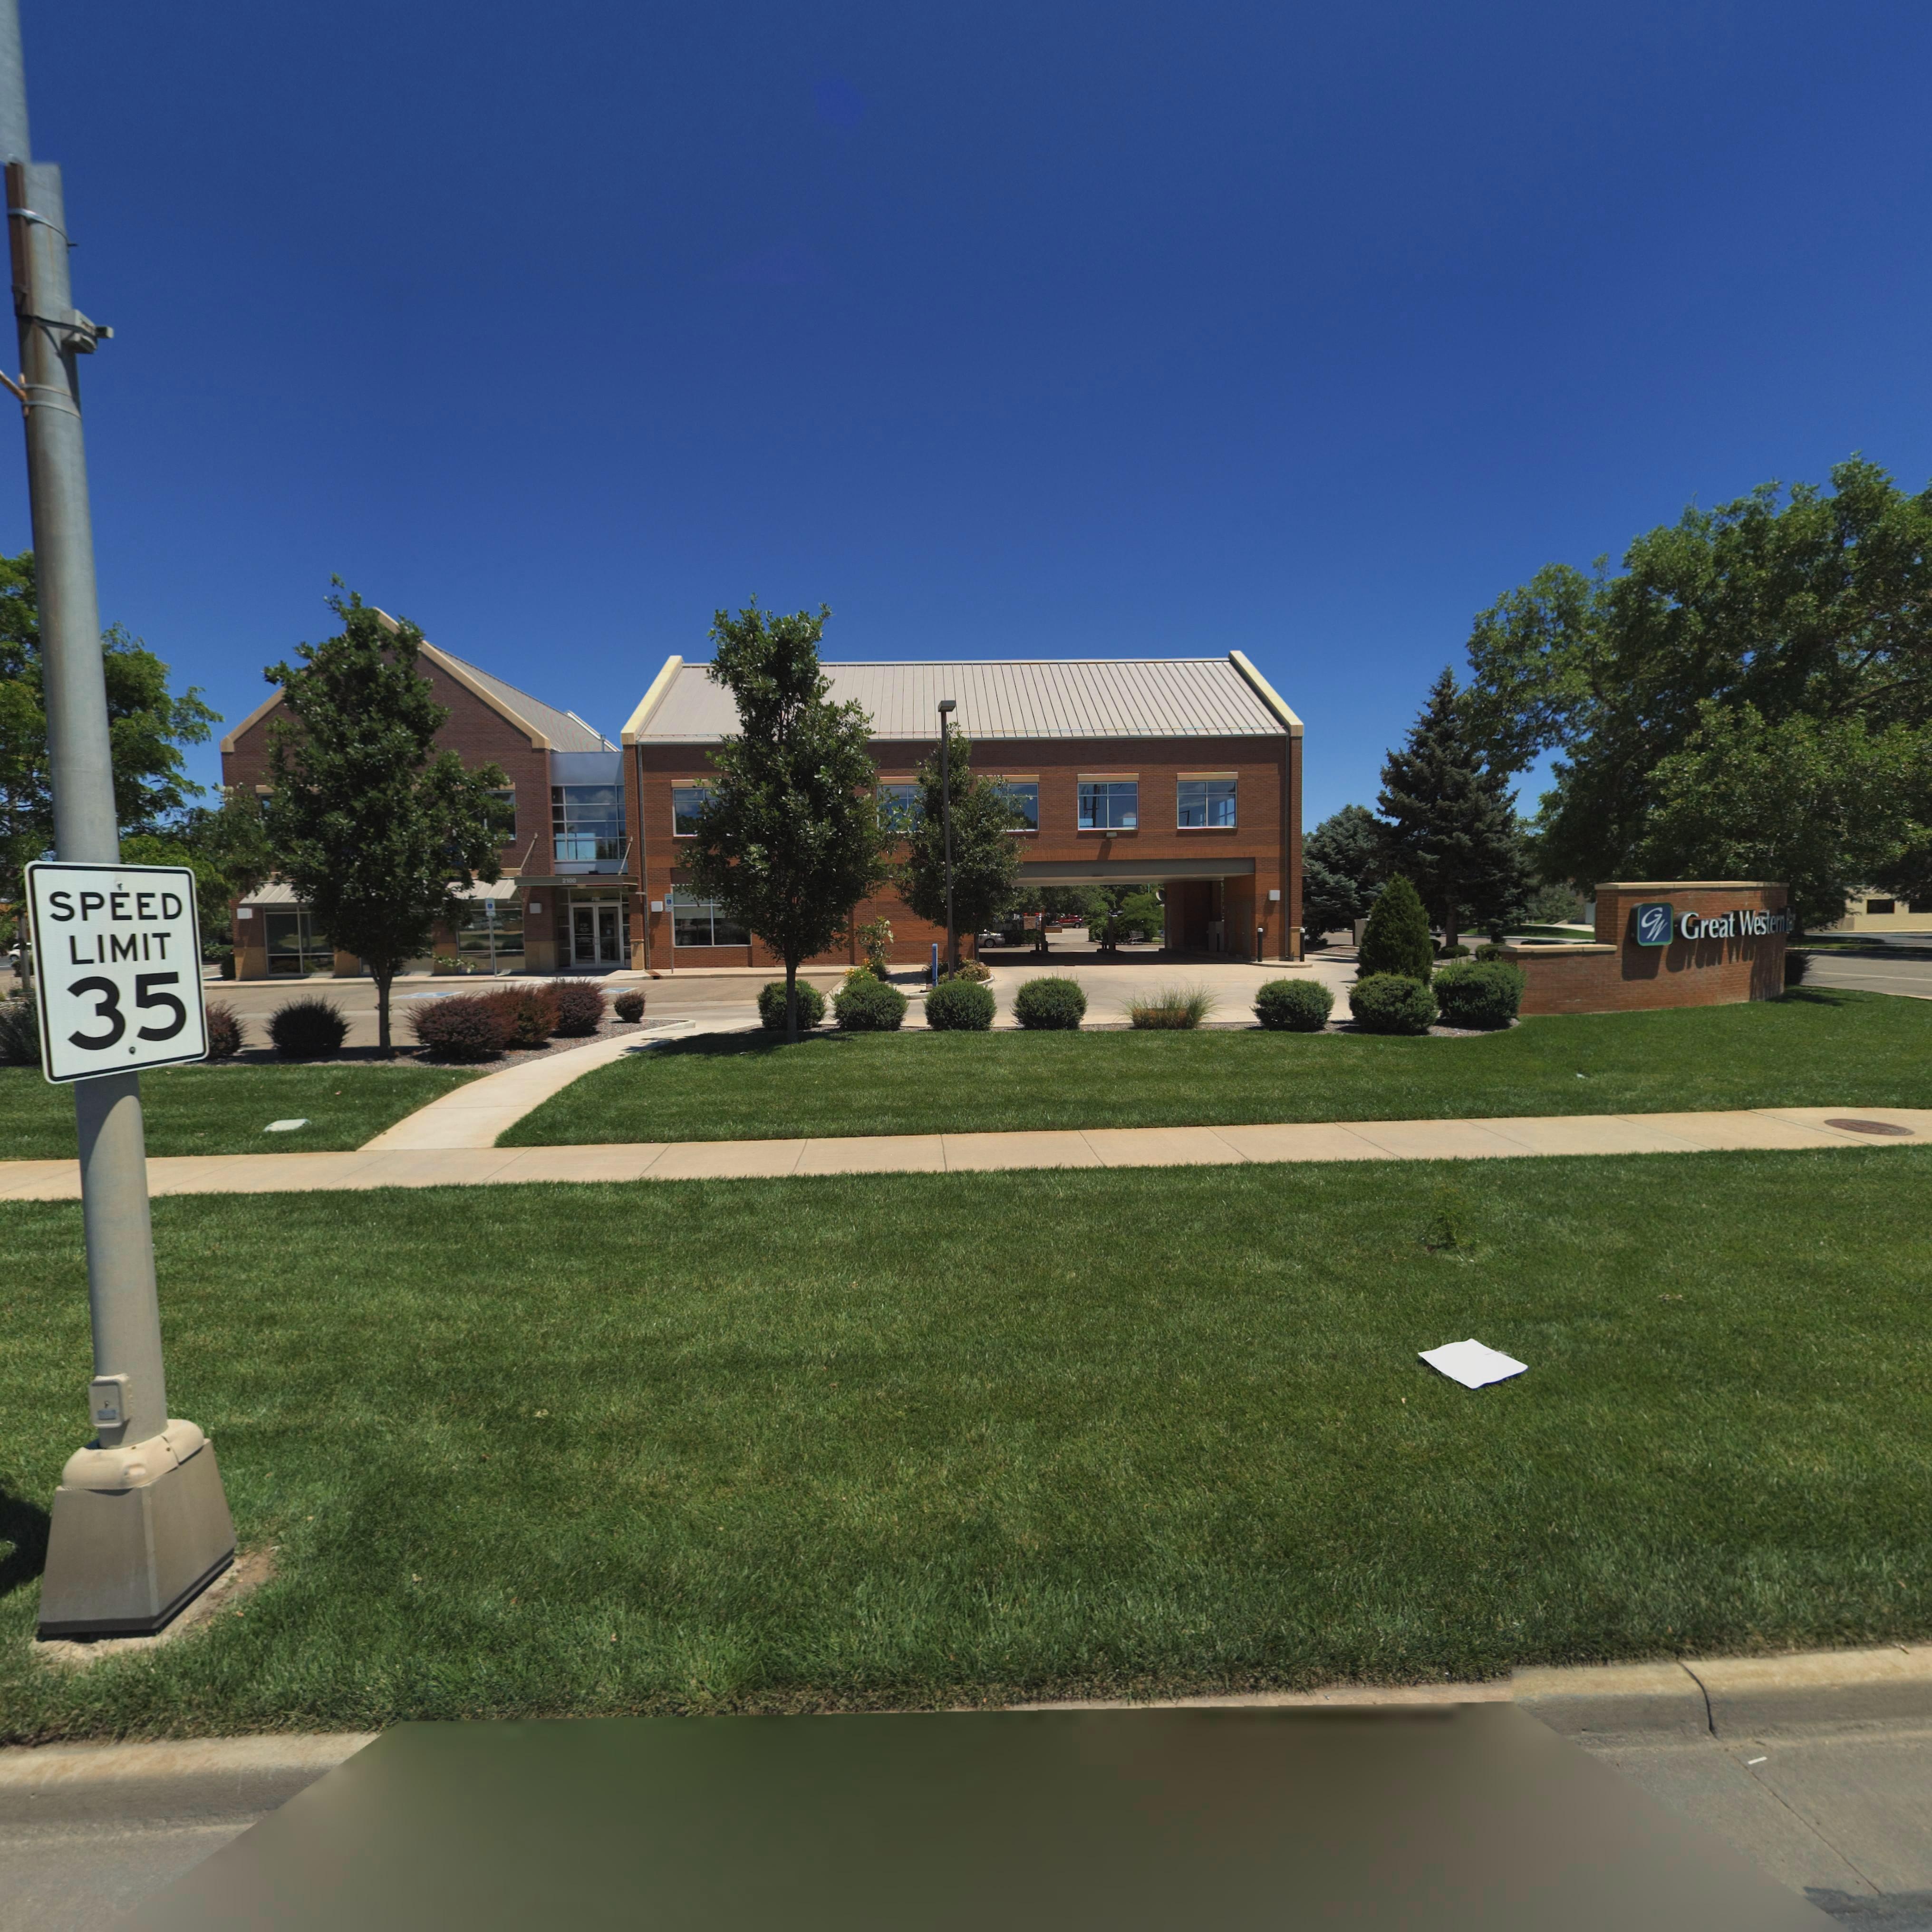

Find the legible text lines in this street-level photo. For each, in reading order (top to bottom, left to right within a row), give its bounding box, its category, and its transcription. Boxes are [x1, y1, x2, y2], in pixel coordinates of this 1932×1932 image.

[562, 878, 576, 883] StreetNumber: 2100
[1679, 906, 1797, 939] BusinessName: Great Western *a*